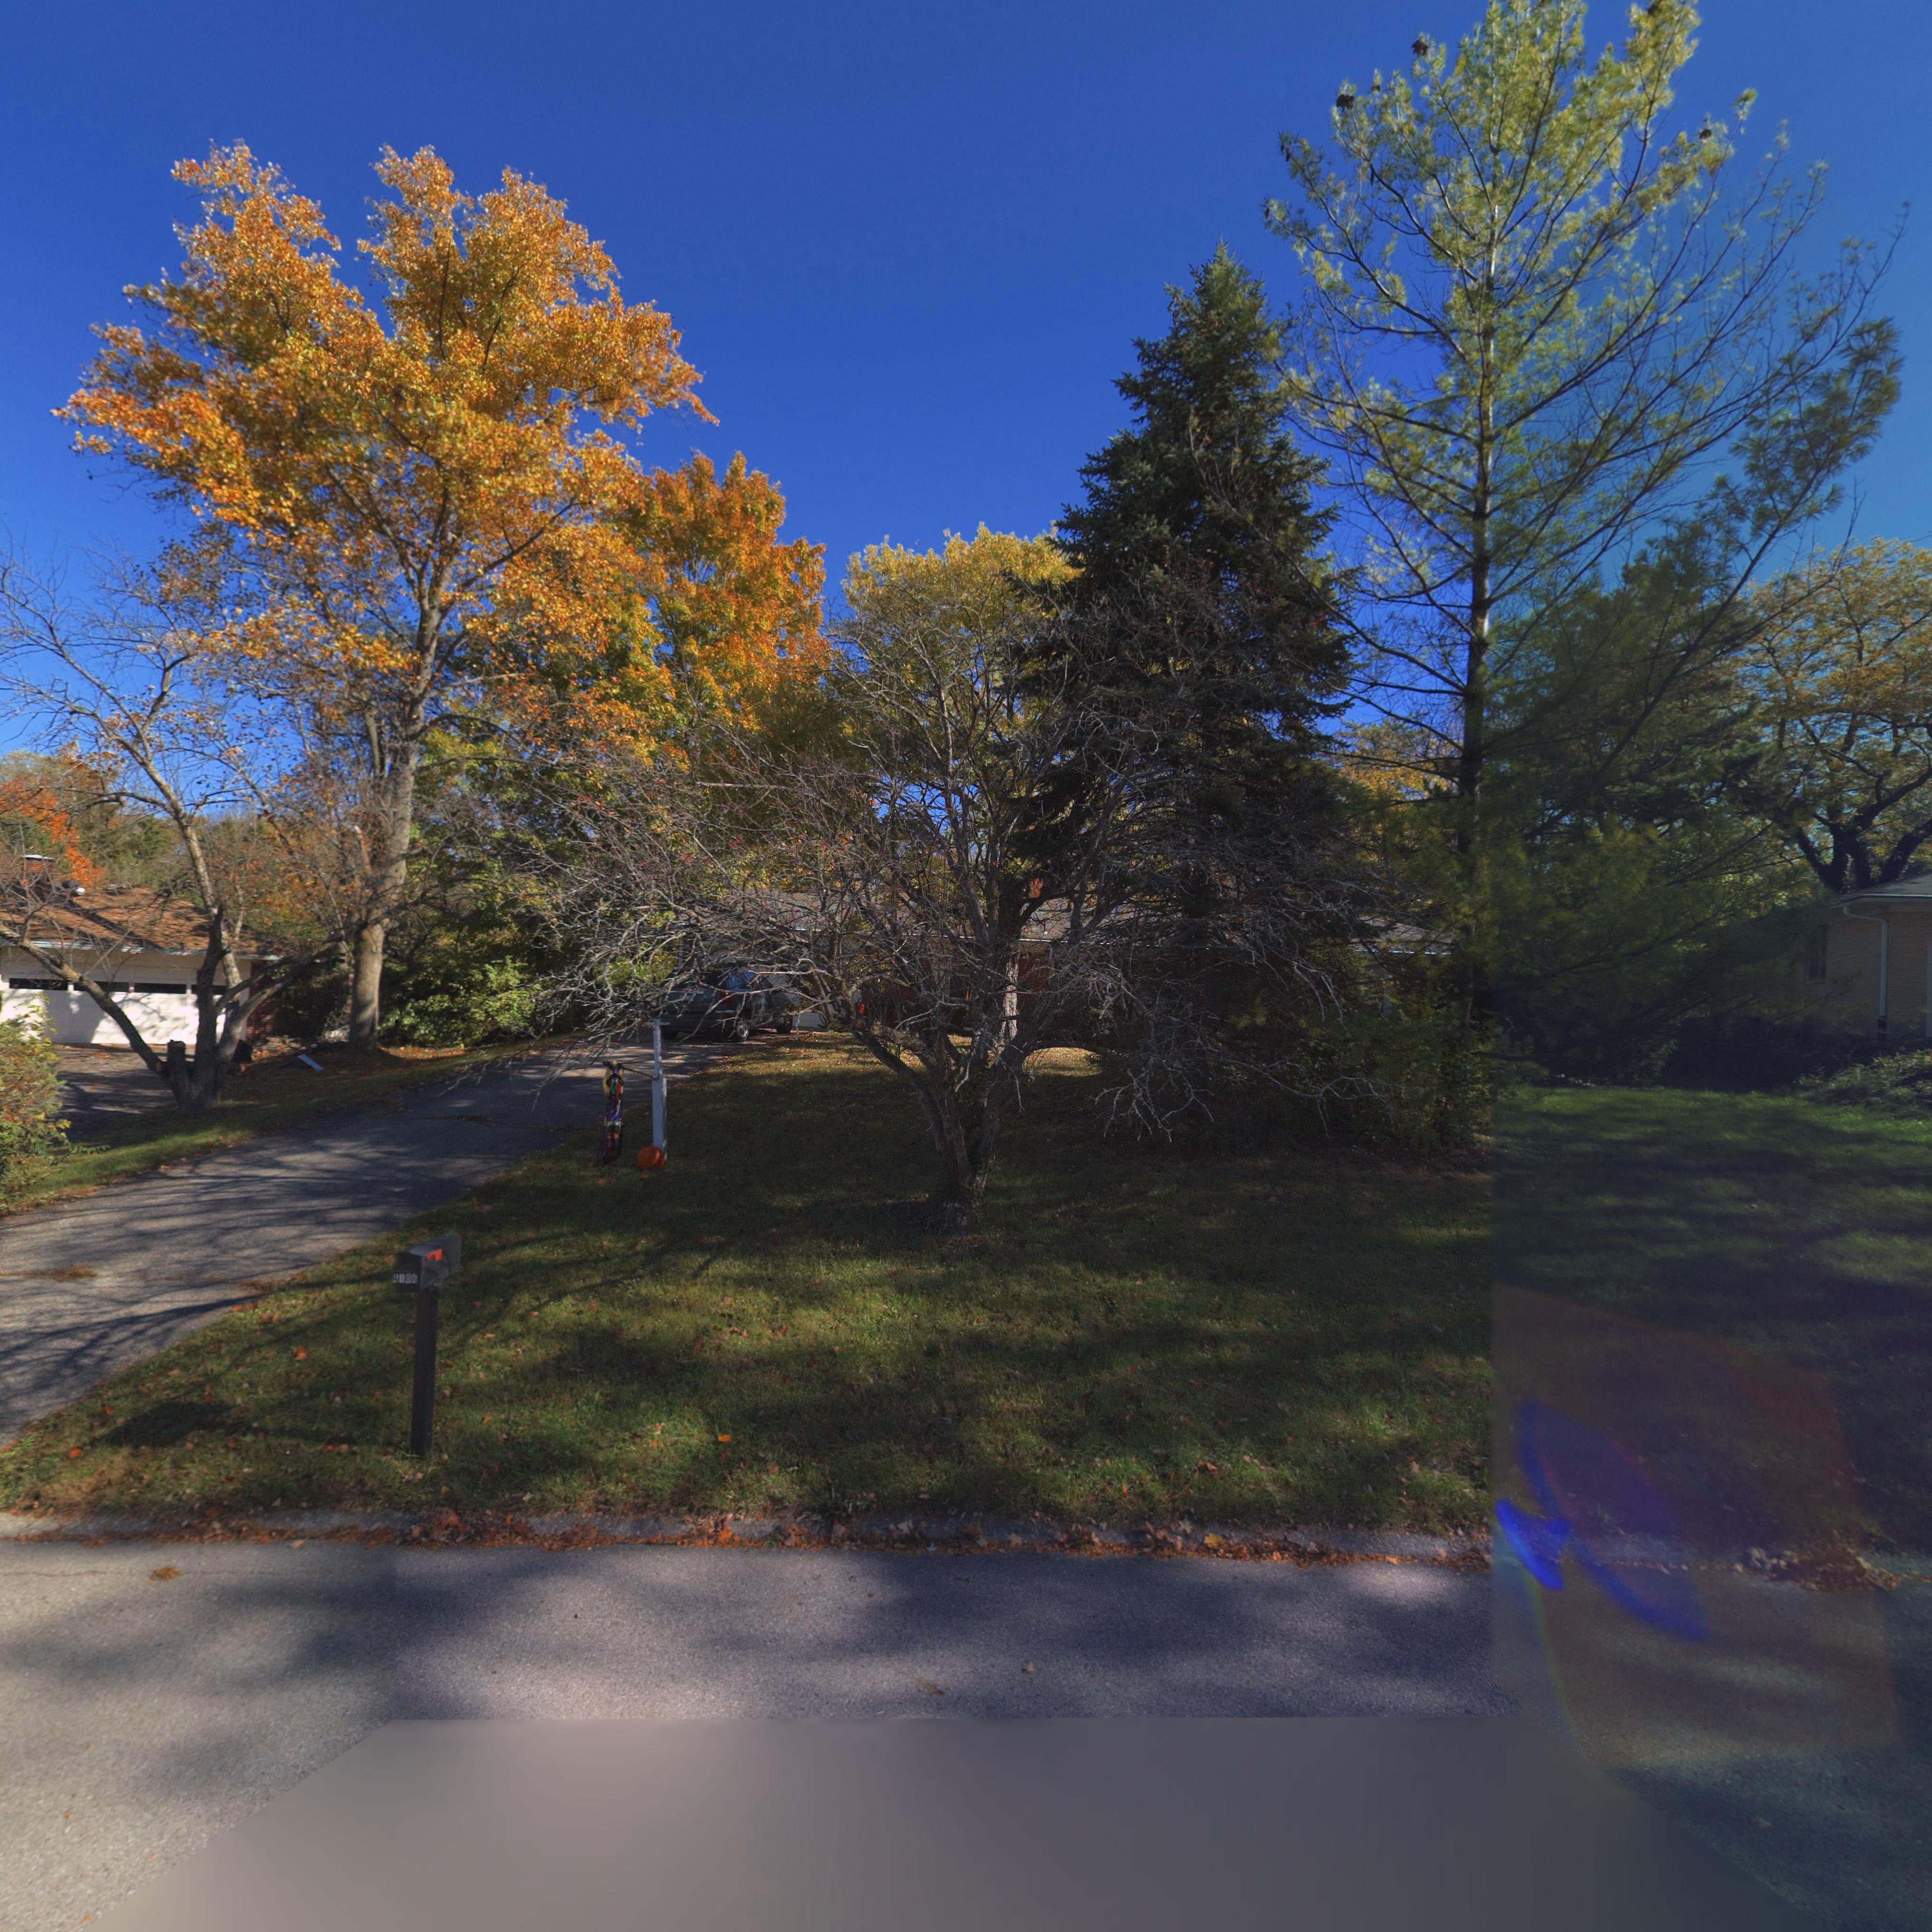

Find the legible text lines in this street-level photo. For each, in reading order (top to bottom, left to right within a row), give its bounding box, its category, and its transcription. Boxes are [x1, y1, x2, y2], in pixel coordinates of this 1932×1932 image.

[392, 1273, 418, 1284] StreetNumber: 410*